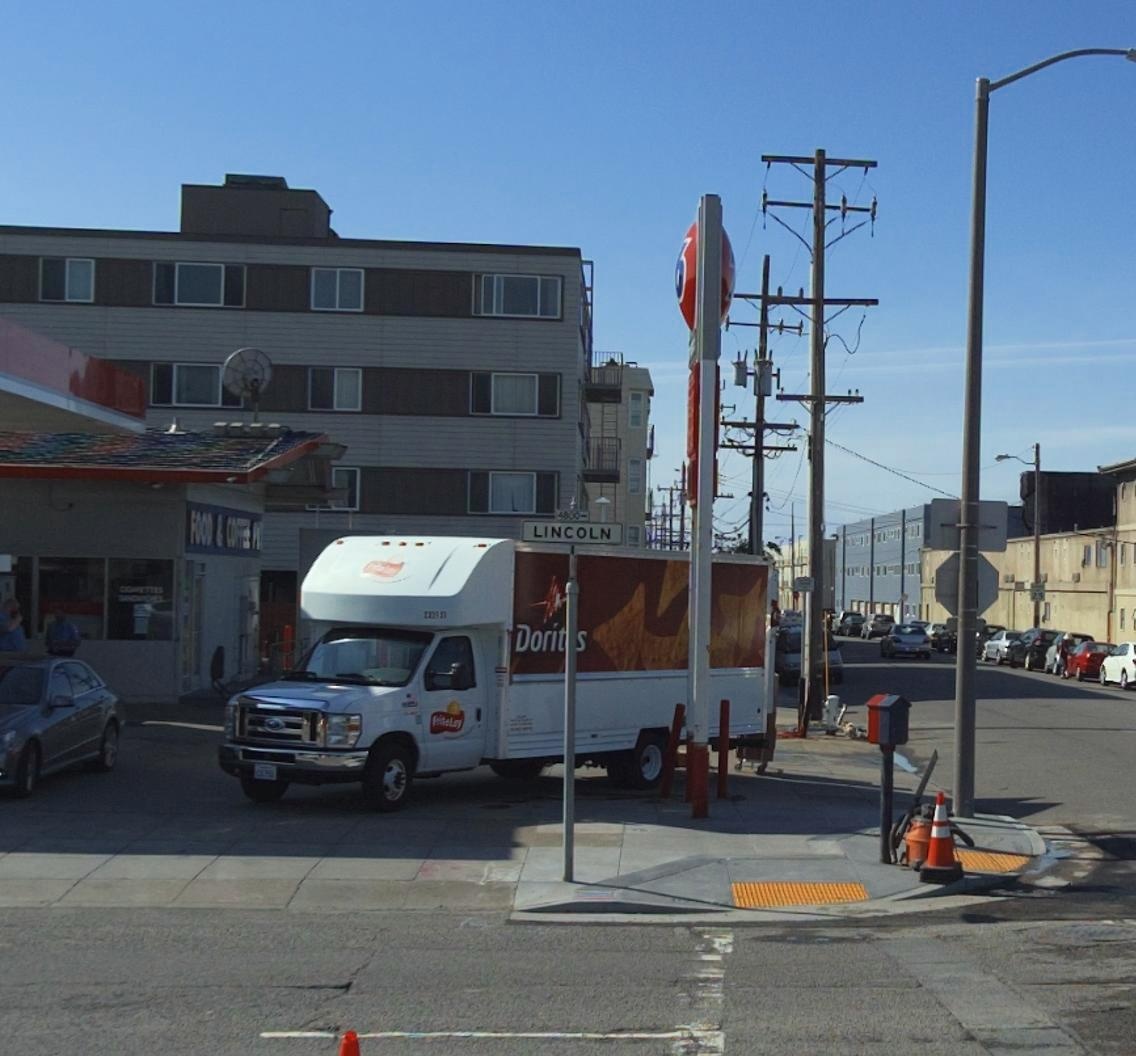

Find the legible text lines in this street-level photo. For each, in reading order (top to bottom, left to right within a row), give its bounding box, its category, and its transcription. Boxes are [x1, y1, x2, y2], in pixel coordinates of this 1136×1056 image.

[555, 509, 588, 521] StreetNumberRange: 4800->
[189, 508, 251, 549] None: FOOD & COFFEE
[532, 524, 610, 540] StreetName: LINCOLN
[513, 621, 587, 652] None: Dorit*s
[431, 713, 465, 730] None: FritoLay